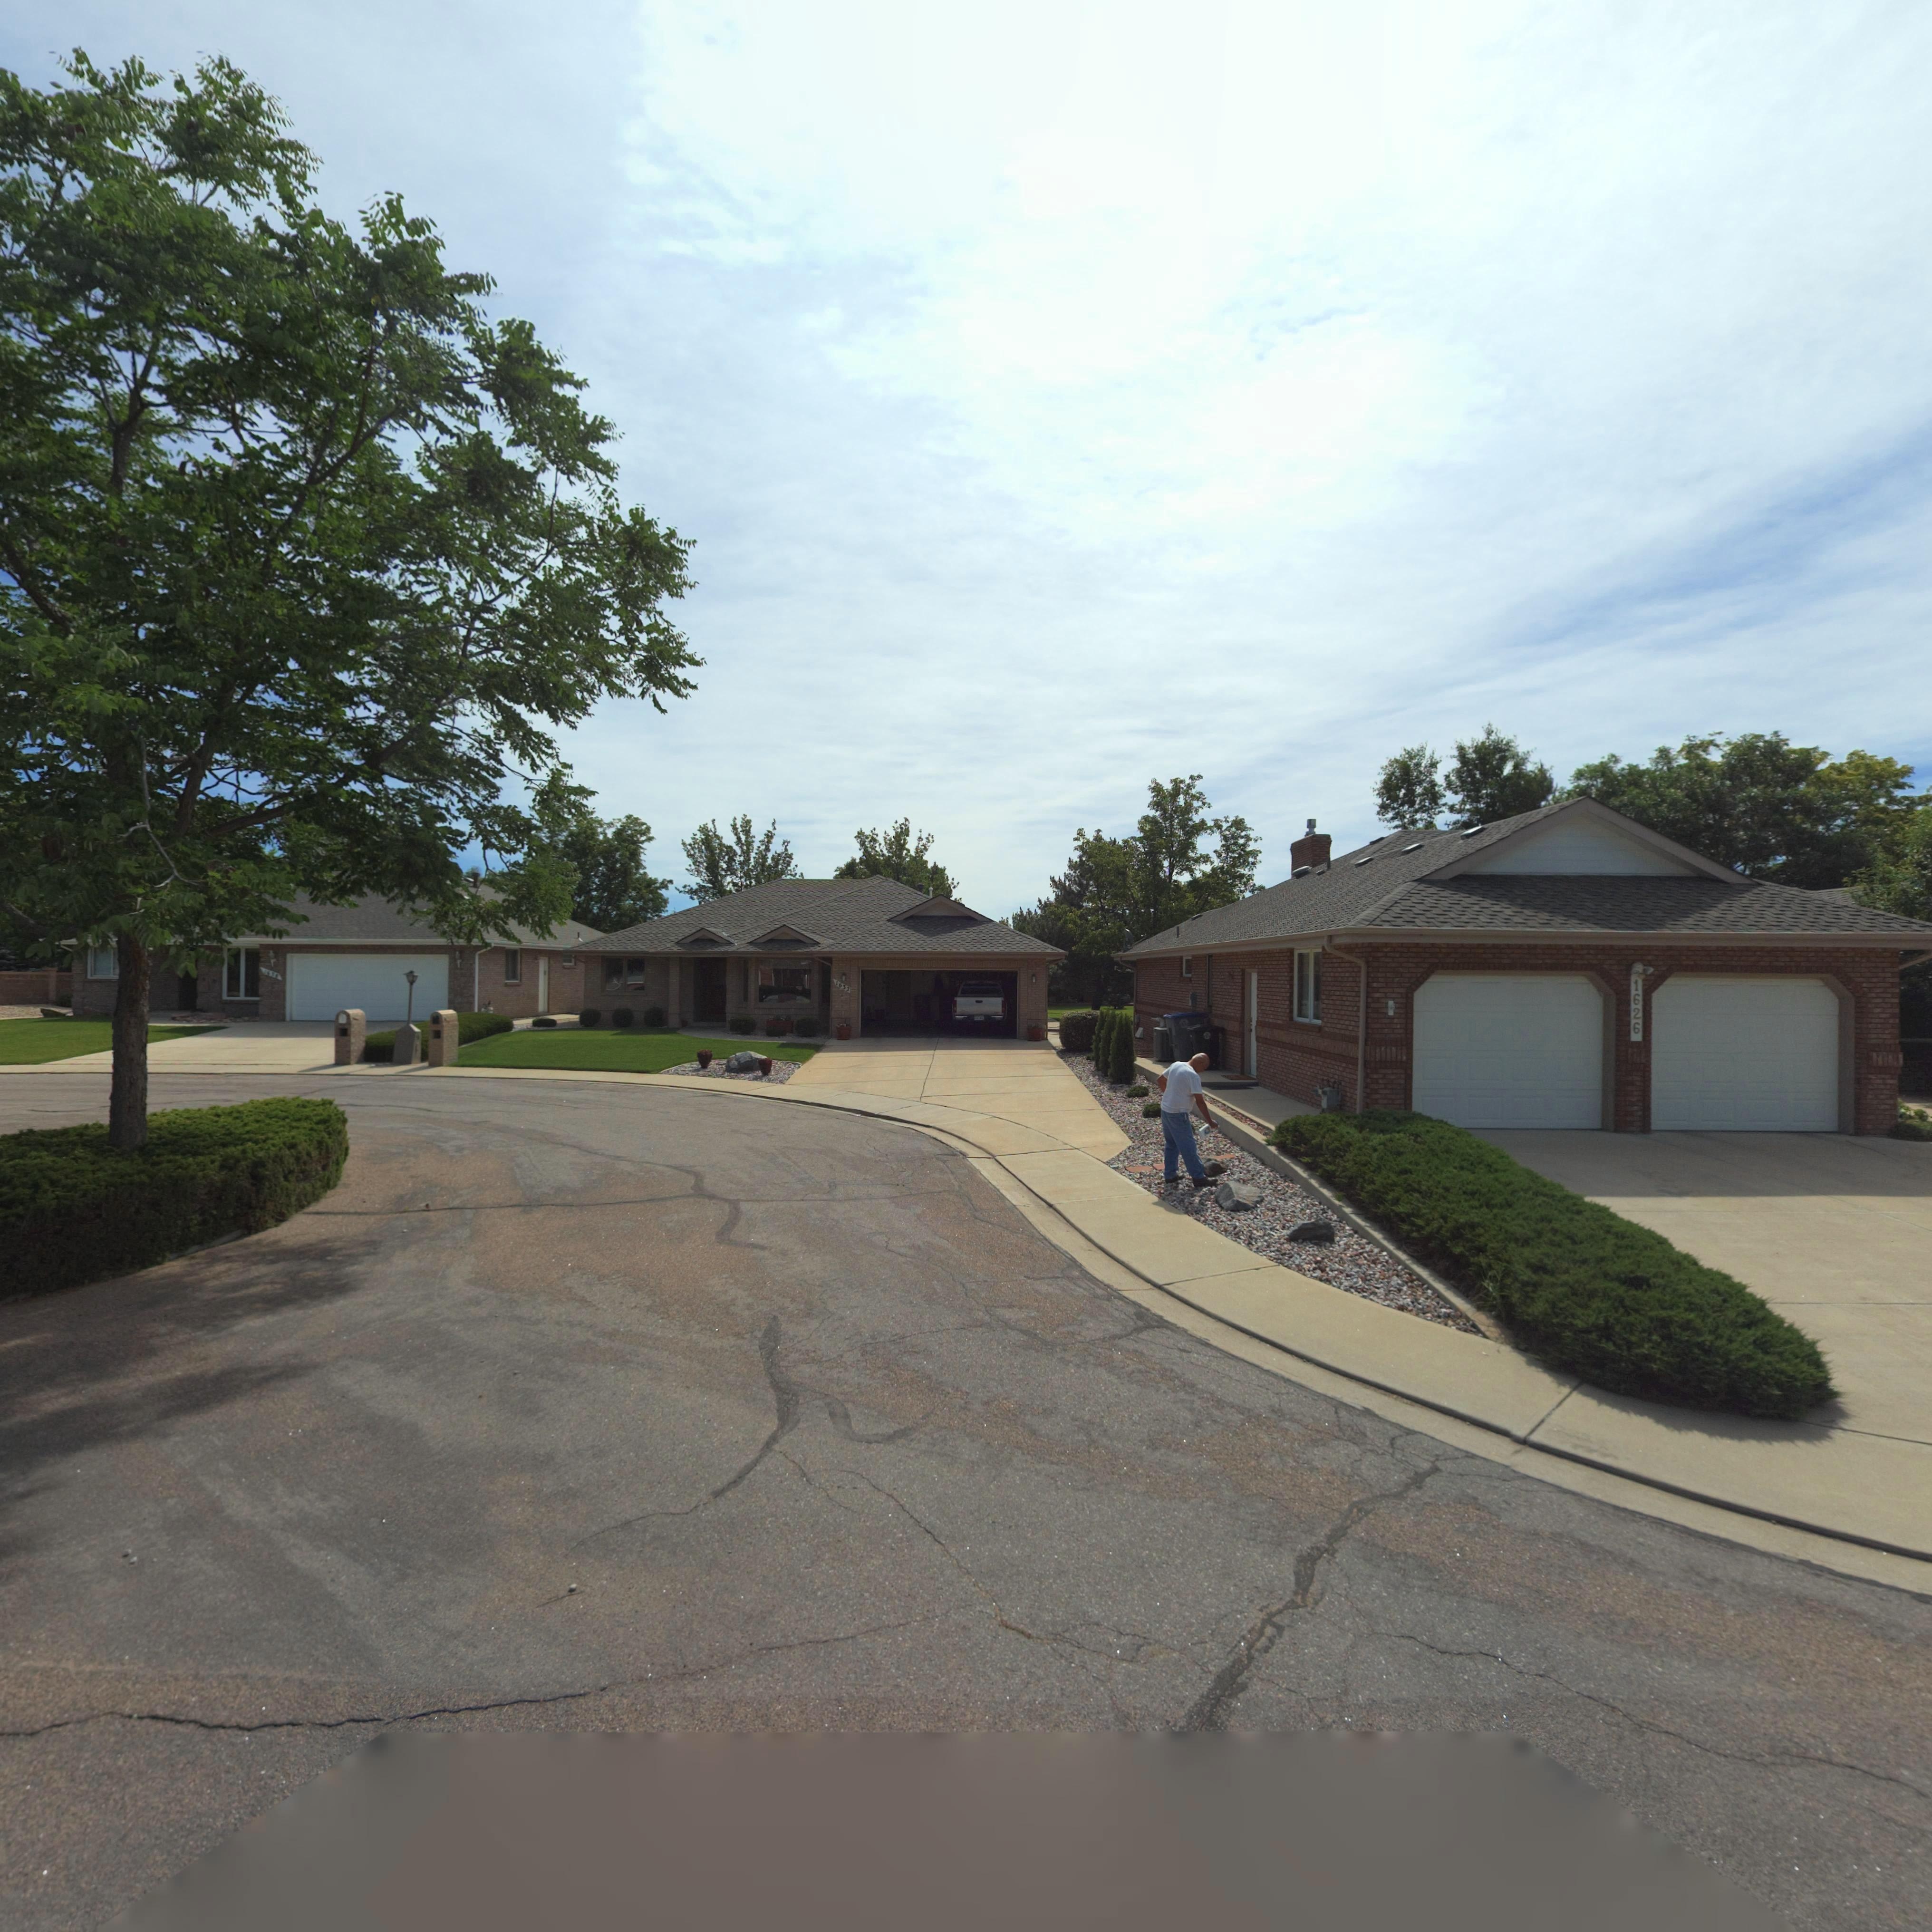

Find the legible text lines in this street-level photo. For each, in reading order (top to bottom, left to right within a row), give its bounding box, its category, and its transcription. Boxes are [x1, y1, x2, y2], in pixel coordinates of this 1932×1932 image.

[266, 970, 279, 978] StreetNumber: *3*
[835, 980, 850, 991] StreetNumber: 1632
[1633, 978, 1641, 1034] StreetNumber: 1626